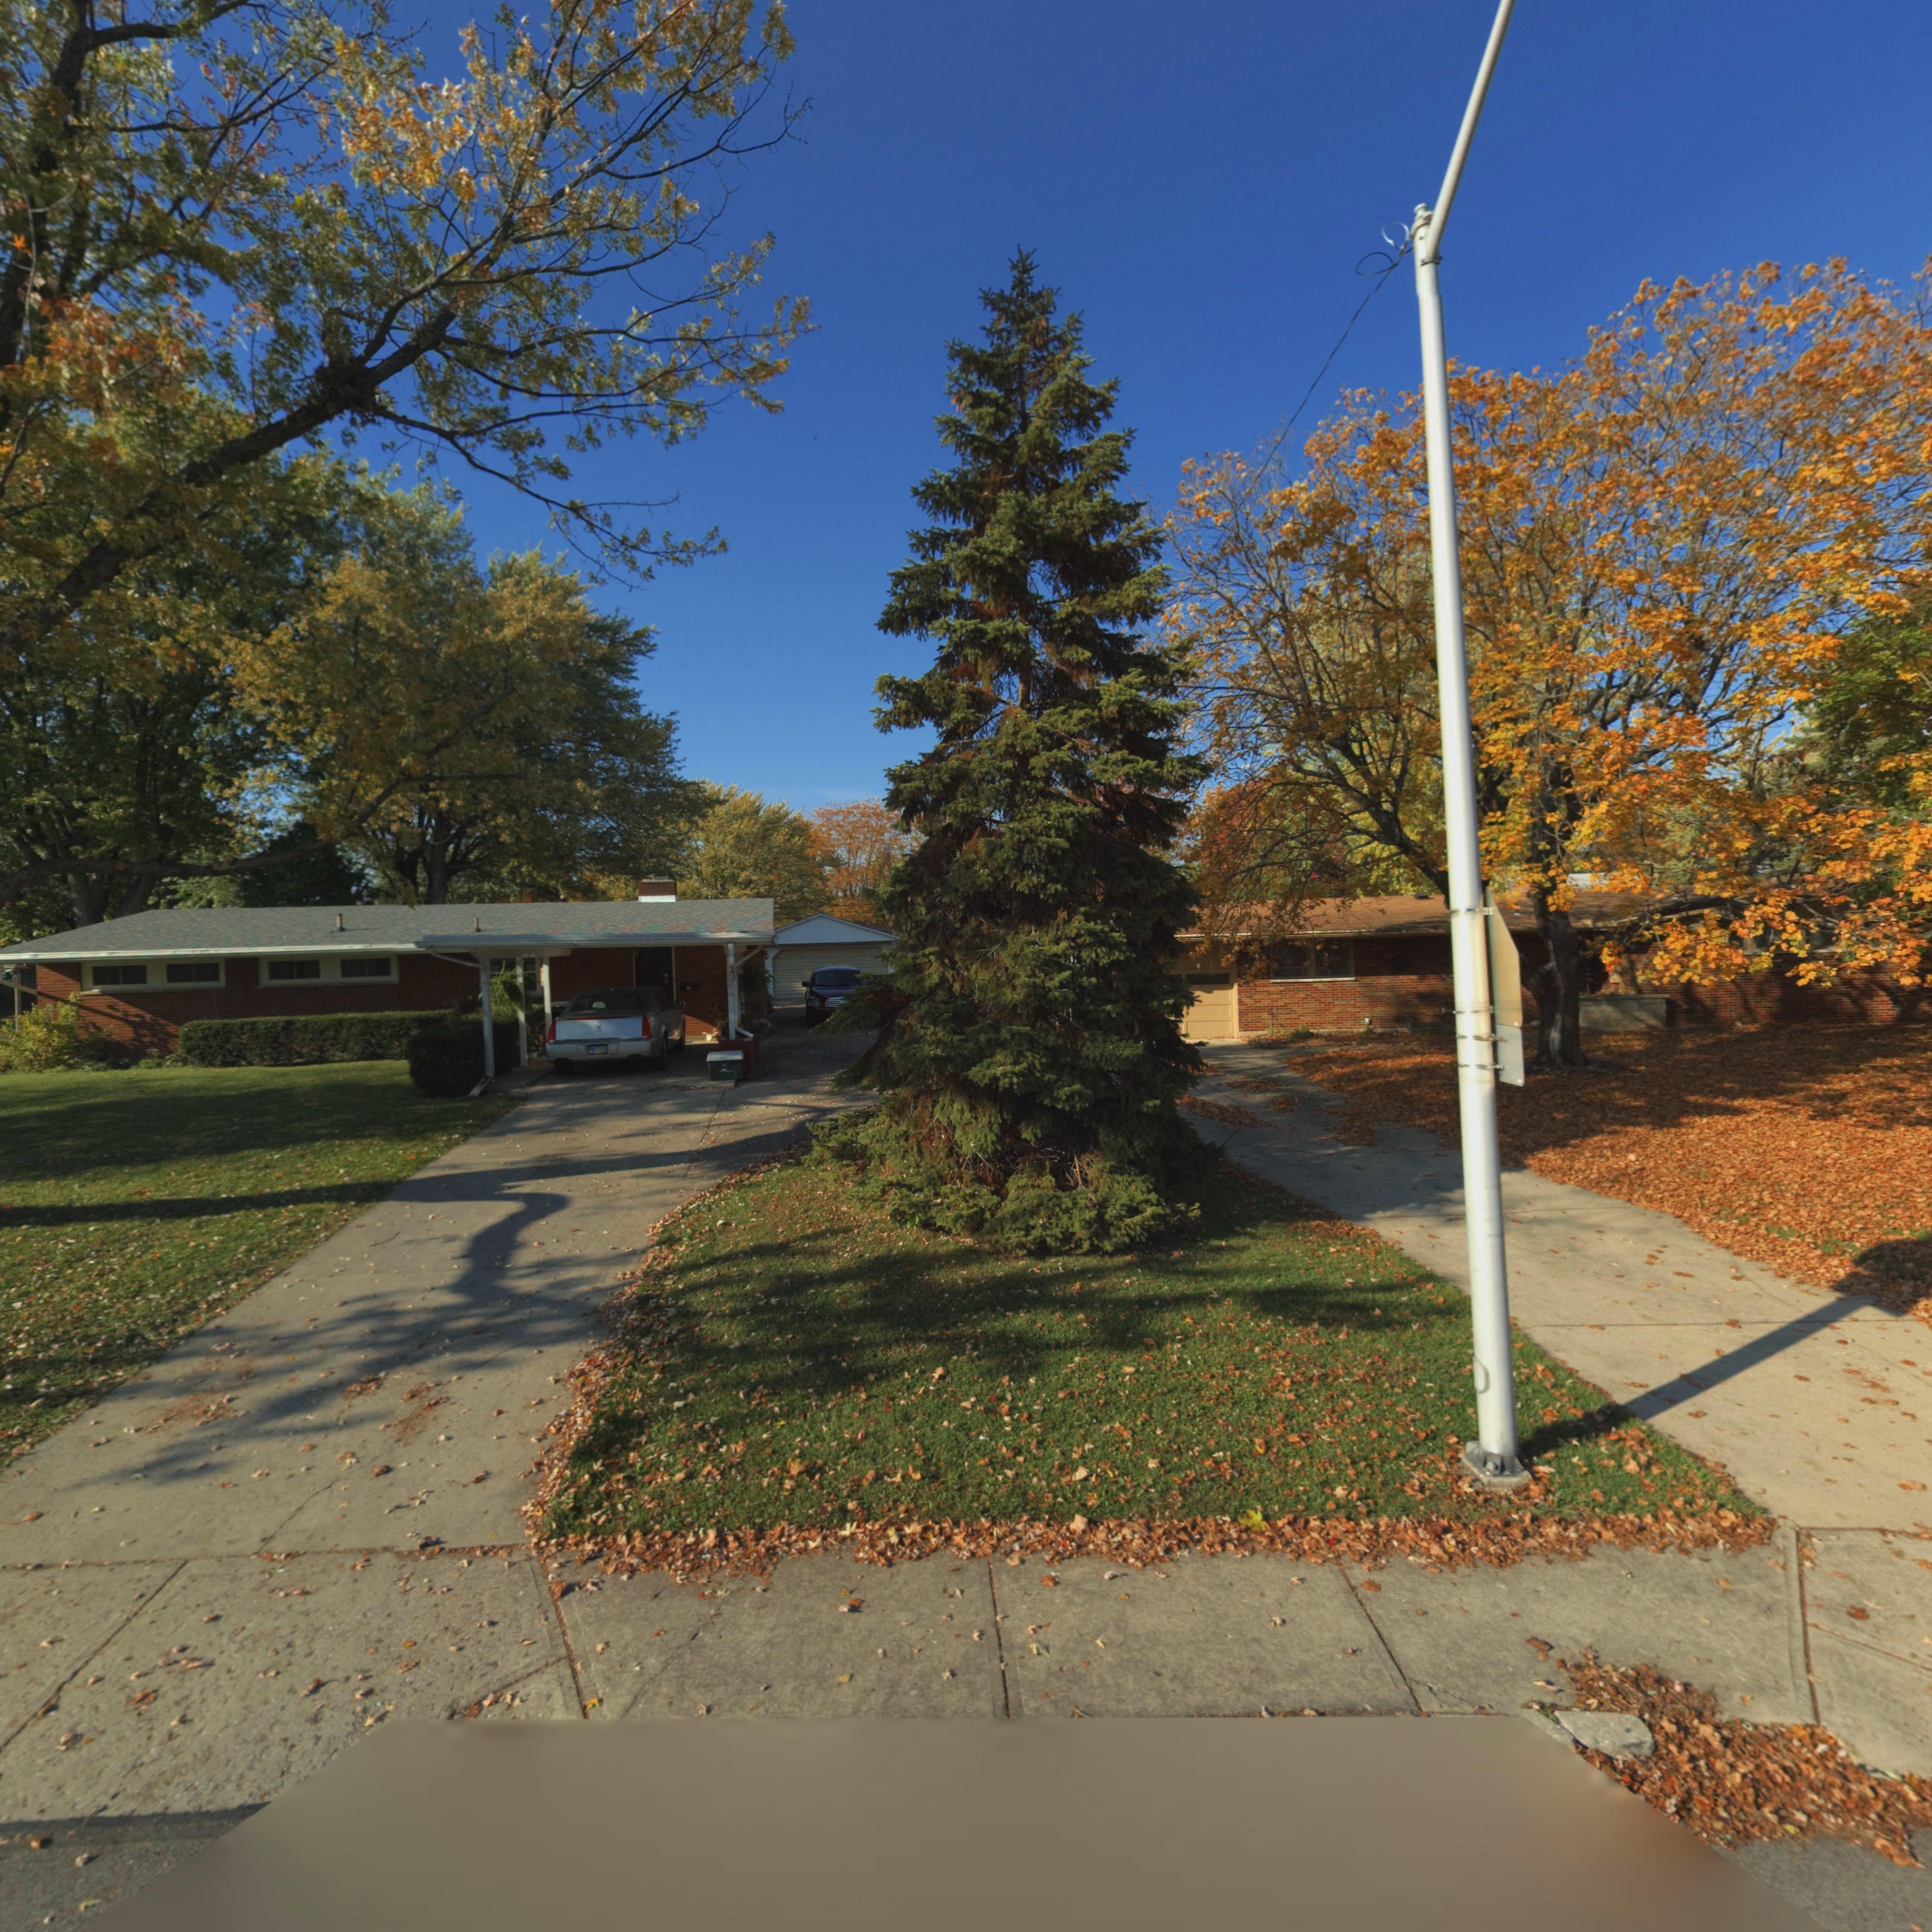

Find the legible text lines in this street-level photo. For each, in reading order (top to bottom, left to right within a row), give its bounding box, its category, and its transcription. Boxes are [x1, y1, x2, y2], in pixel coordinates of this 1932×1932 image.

[727, 970, 734, 992] StreetNumber: 709